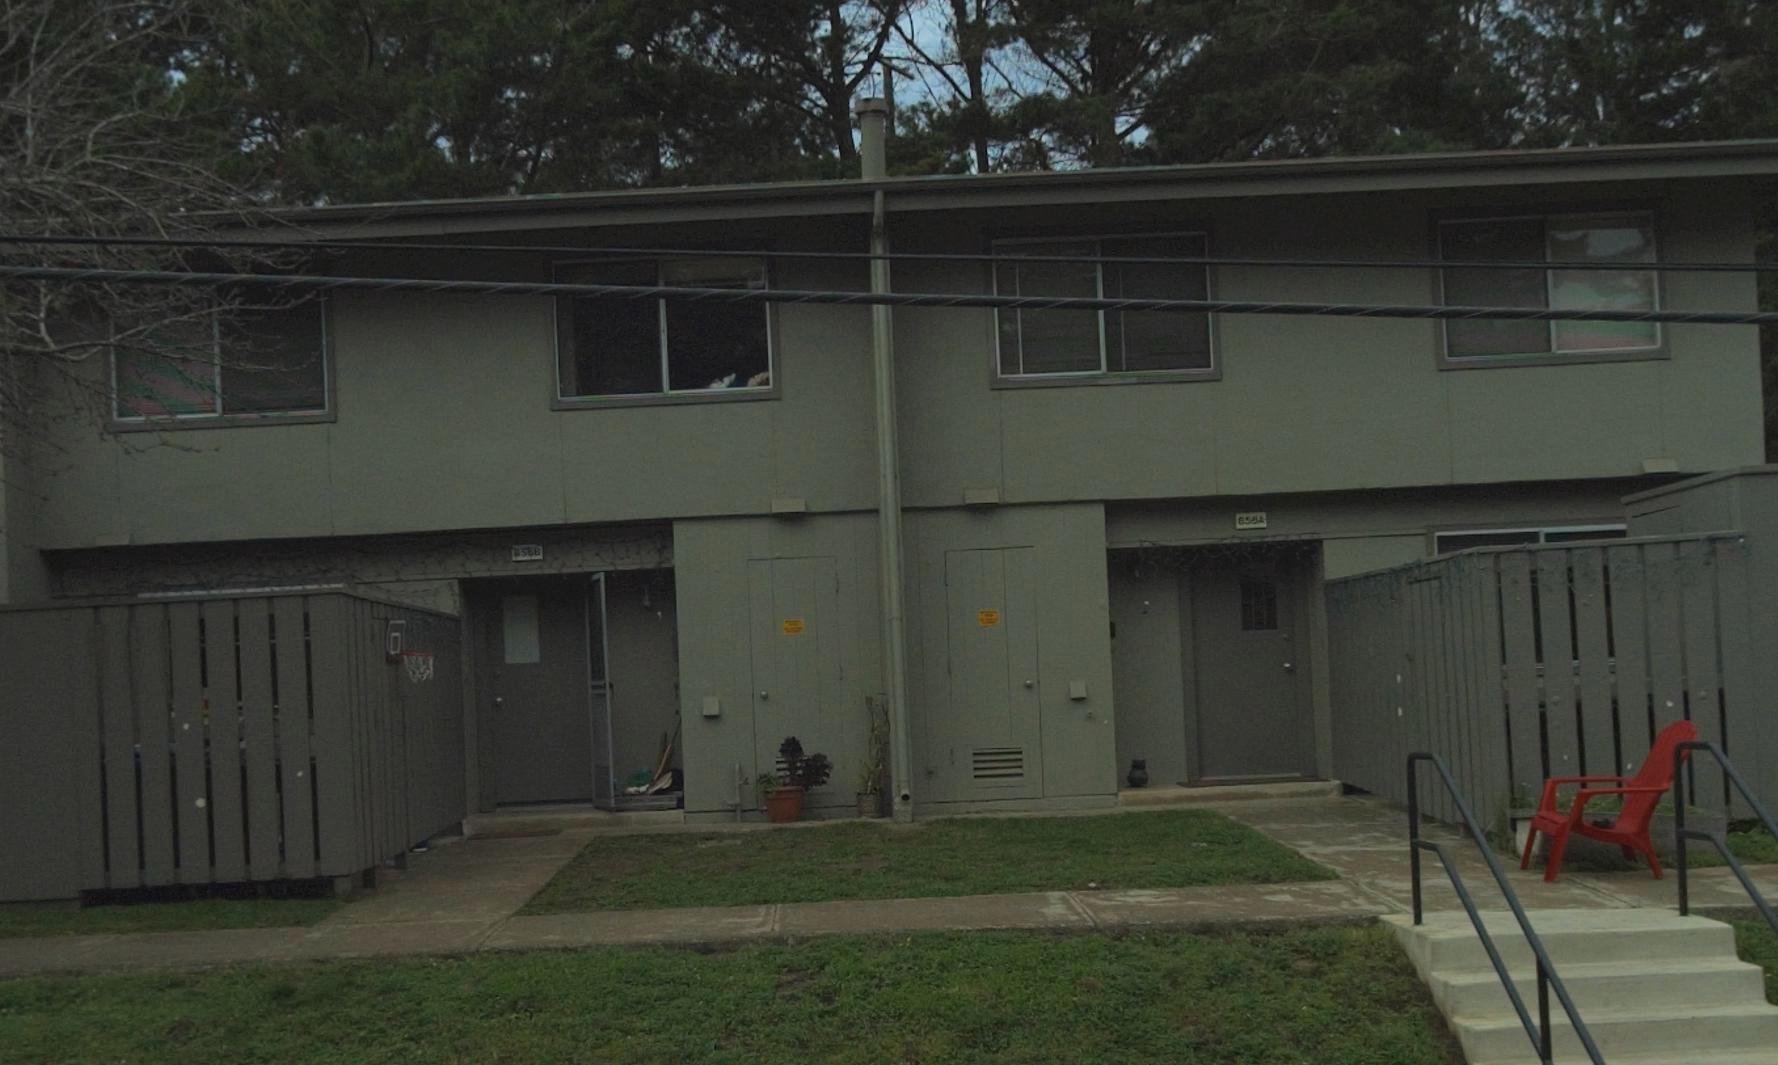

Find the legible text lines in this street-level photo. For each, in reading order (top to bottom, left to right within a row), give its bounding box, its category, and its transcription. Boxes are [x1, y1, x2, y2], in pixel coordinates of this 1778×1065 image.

[1238, 515, 1266, 526] StreetNumber: 856A
[513, 546, 543, 558] StreetNumber: 856B